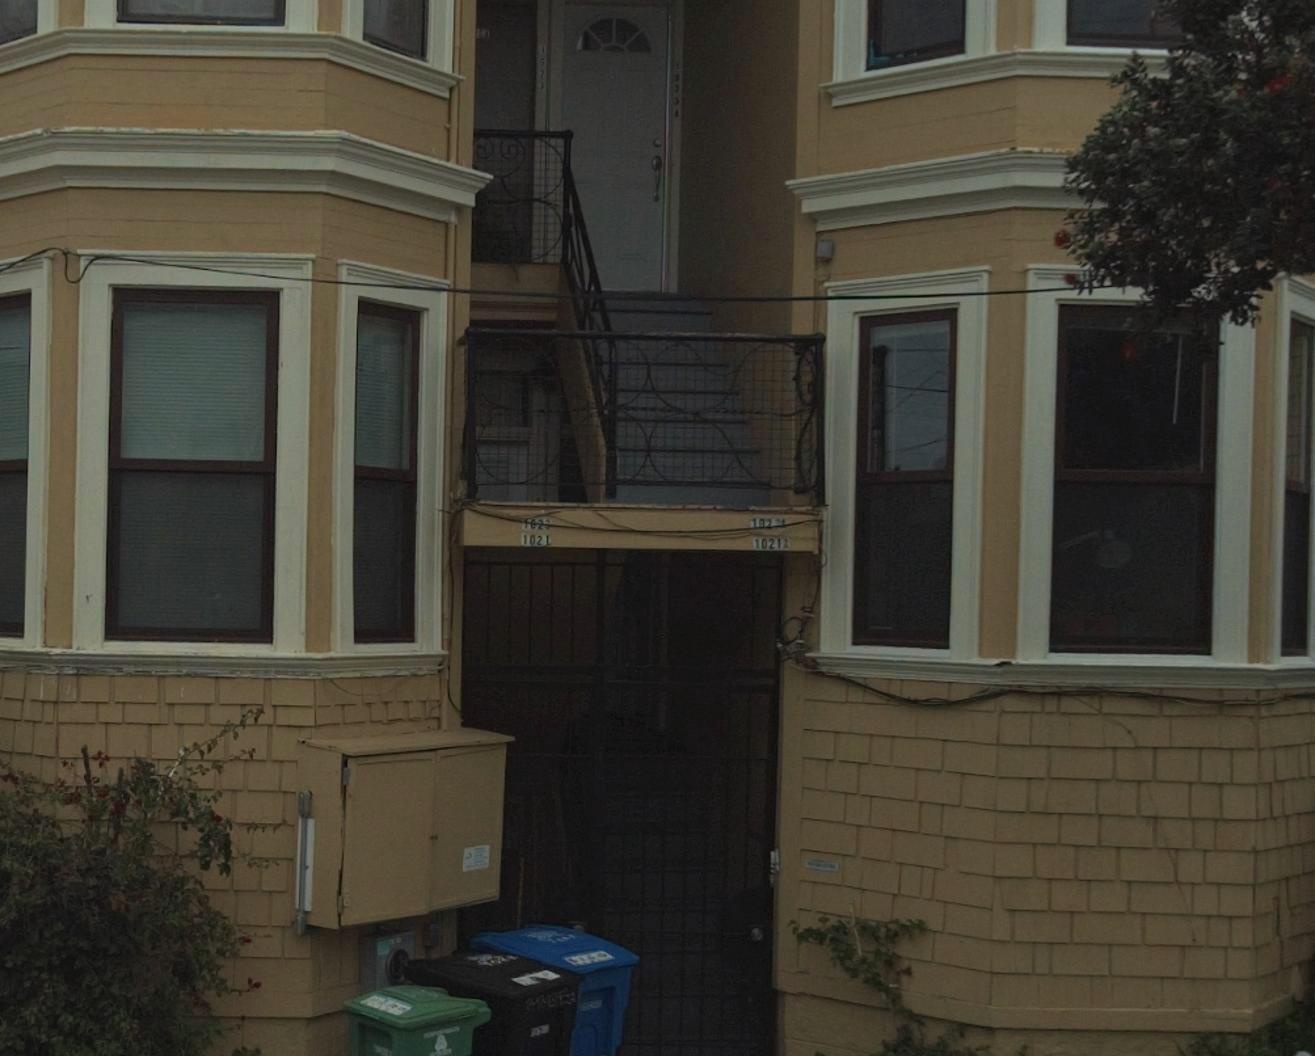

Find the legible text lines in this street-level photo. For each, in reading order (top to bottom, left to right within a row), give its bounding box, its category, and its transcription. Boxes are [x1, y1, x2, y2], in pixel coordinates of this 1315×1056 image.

[521, 534, 552, 546] StreetNumber: 1021
[754, 537, 790, 550] StreetNumber: 1021A